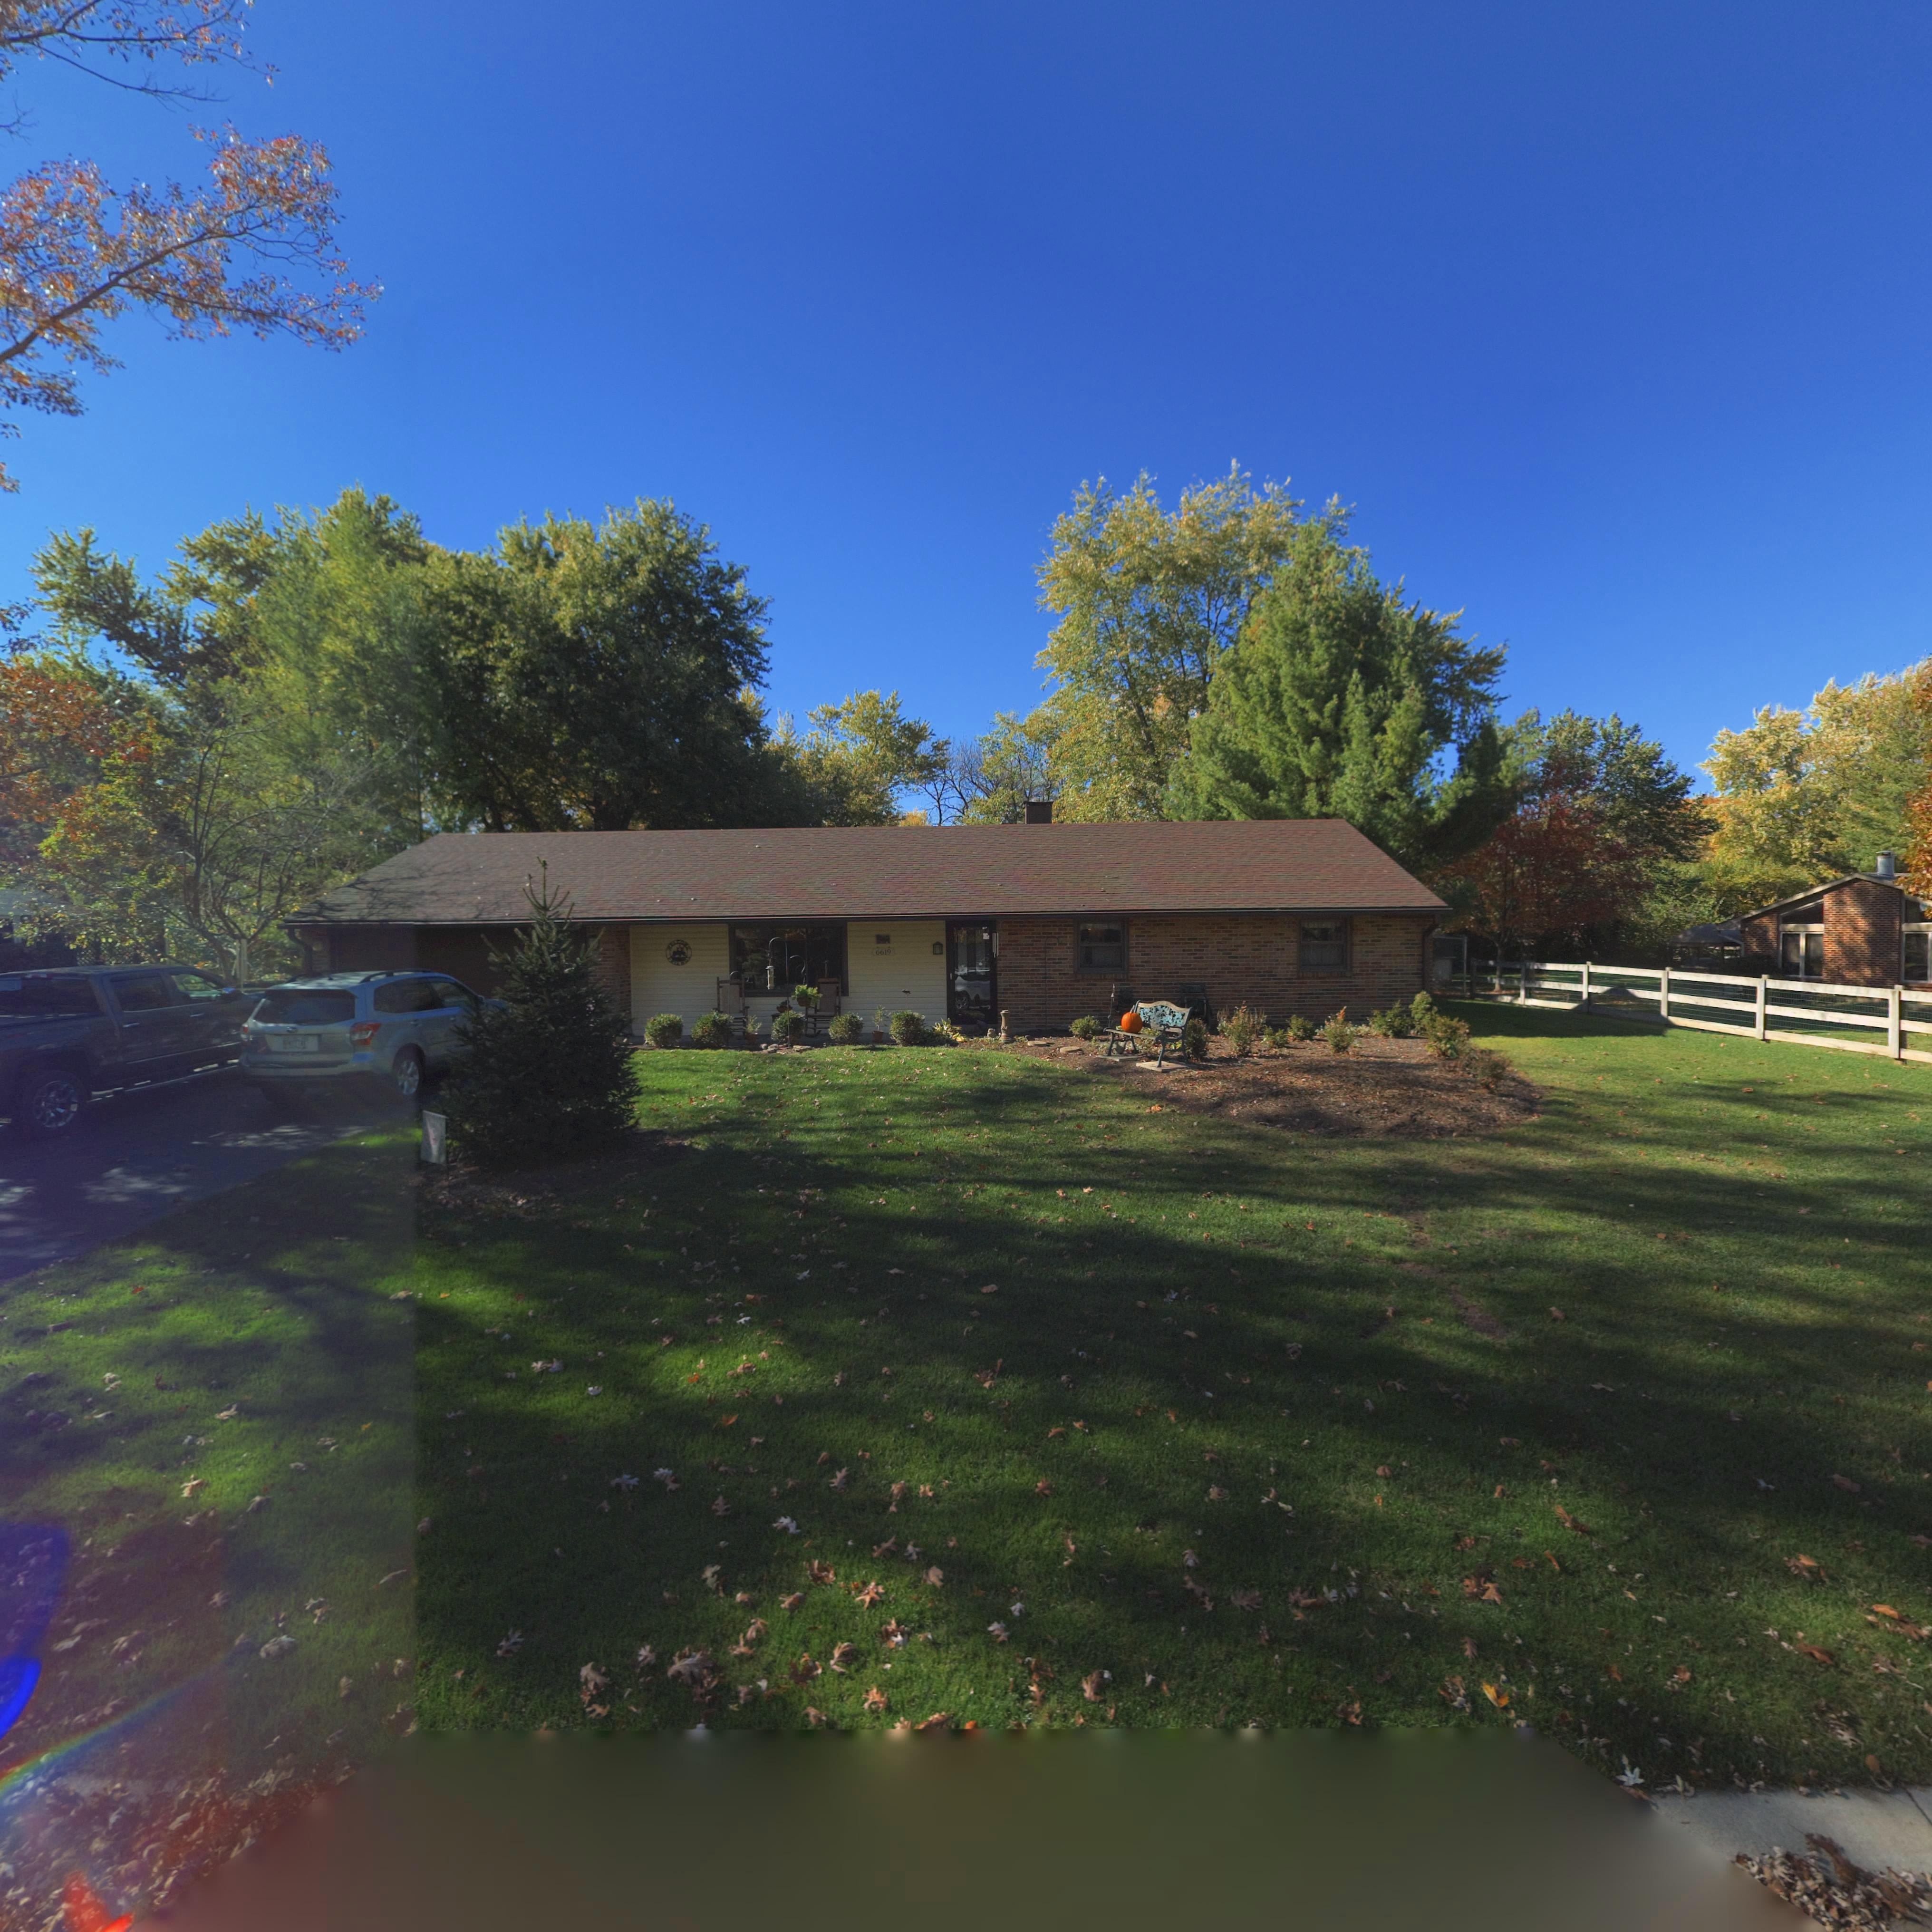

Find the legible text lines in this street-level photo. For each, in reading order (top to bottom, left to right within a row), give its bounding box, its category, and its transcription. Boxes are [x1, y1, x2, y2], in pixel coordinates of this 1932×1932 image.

[875, 948, 892, 955] StreetNumber: 6619